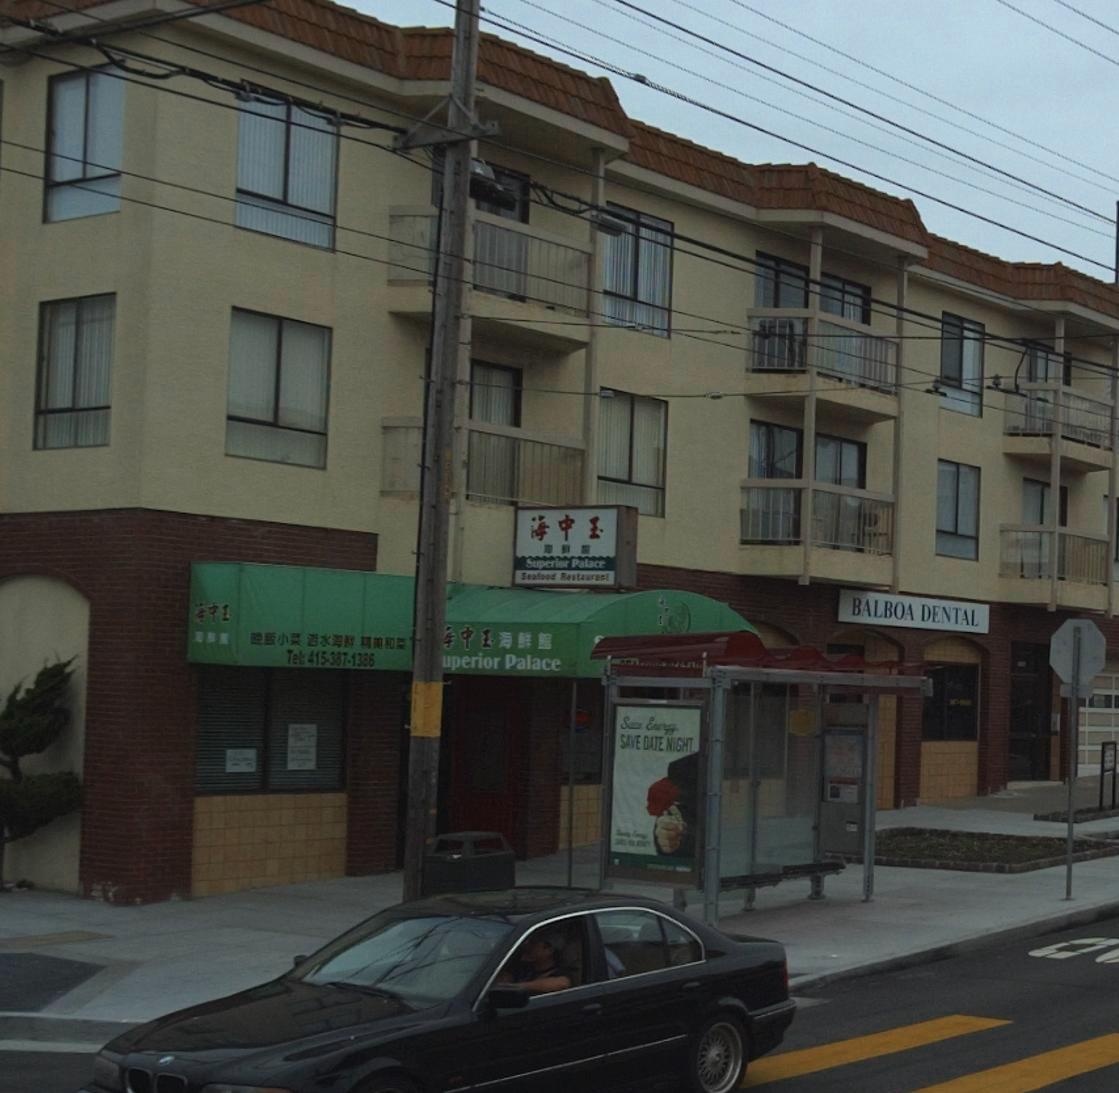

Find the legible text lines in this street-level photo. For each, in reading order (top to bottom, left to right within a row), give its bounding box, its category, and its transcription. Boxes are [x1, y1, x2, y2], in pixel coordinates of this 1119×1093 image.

[524, 556, 607, 570] BusinessName: Superior Palace
[519, 571, 610, 583] BusinessName: Seafood Restaurant!
[850, 595, 981, 629] BusinessName: BALBOA DENTAL
[285, 647, 376, 669] None: Tel:415-387-1386
[450, 651, 562, 673] BusinessName: perior Palace
[618, 714, 682, 736] None: Save Energy
[618, 733, 696, 755] None: SAVEDATENIGHT